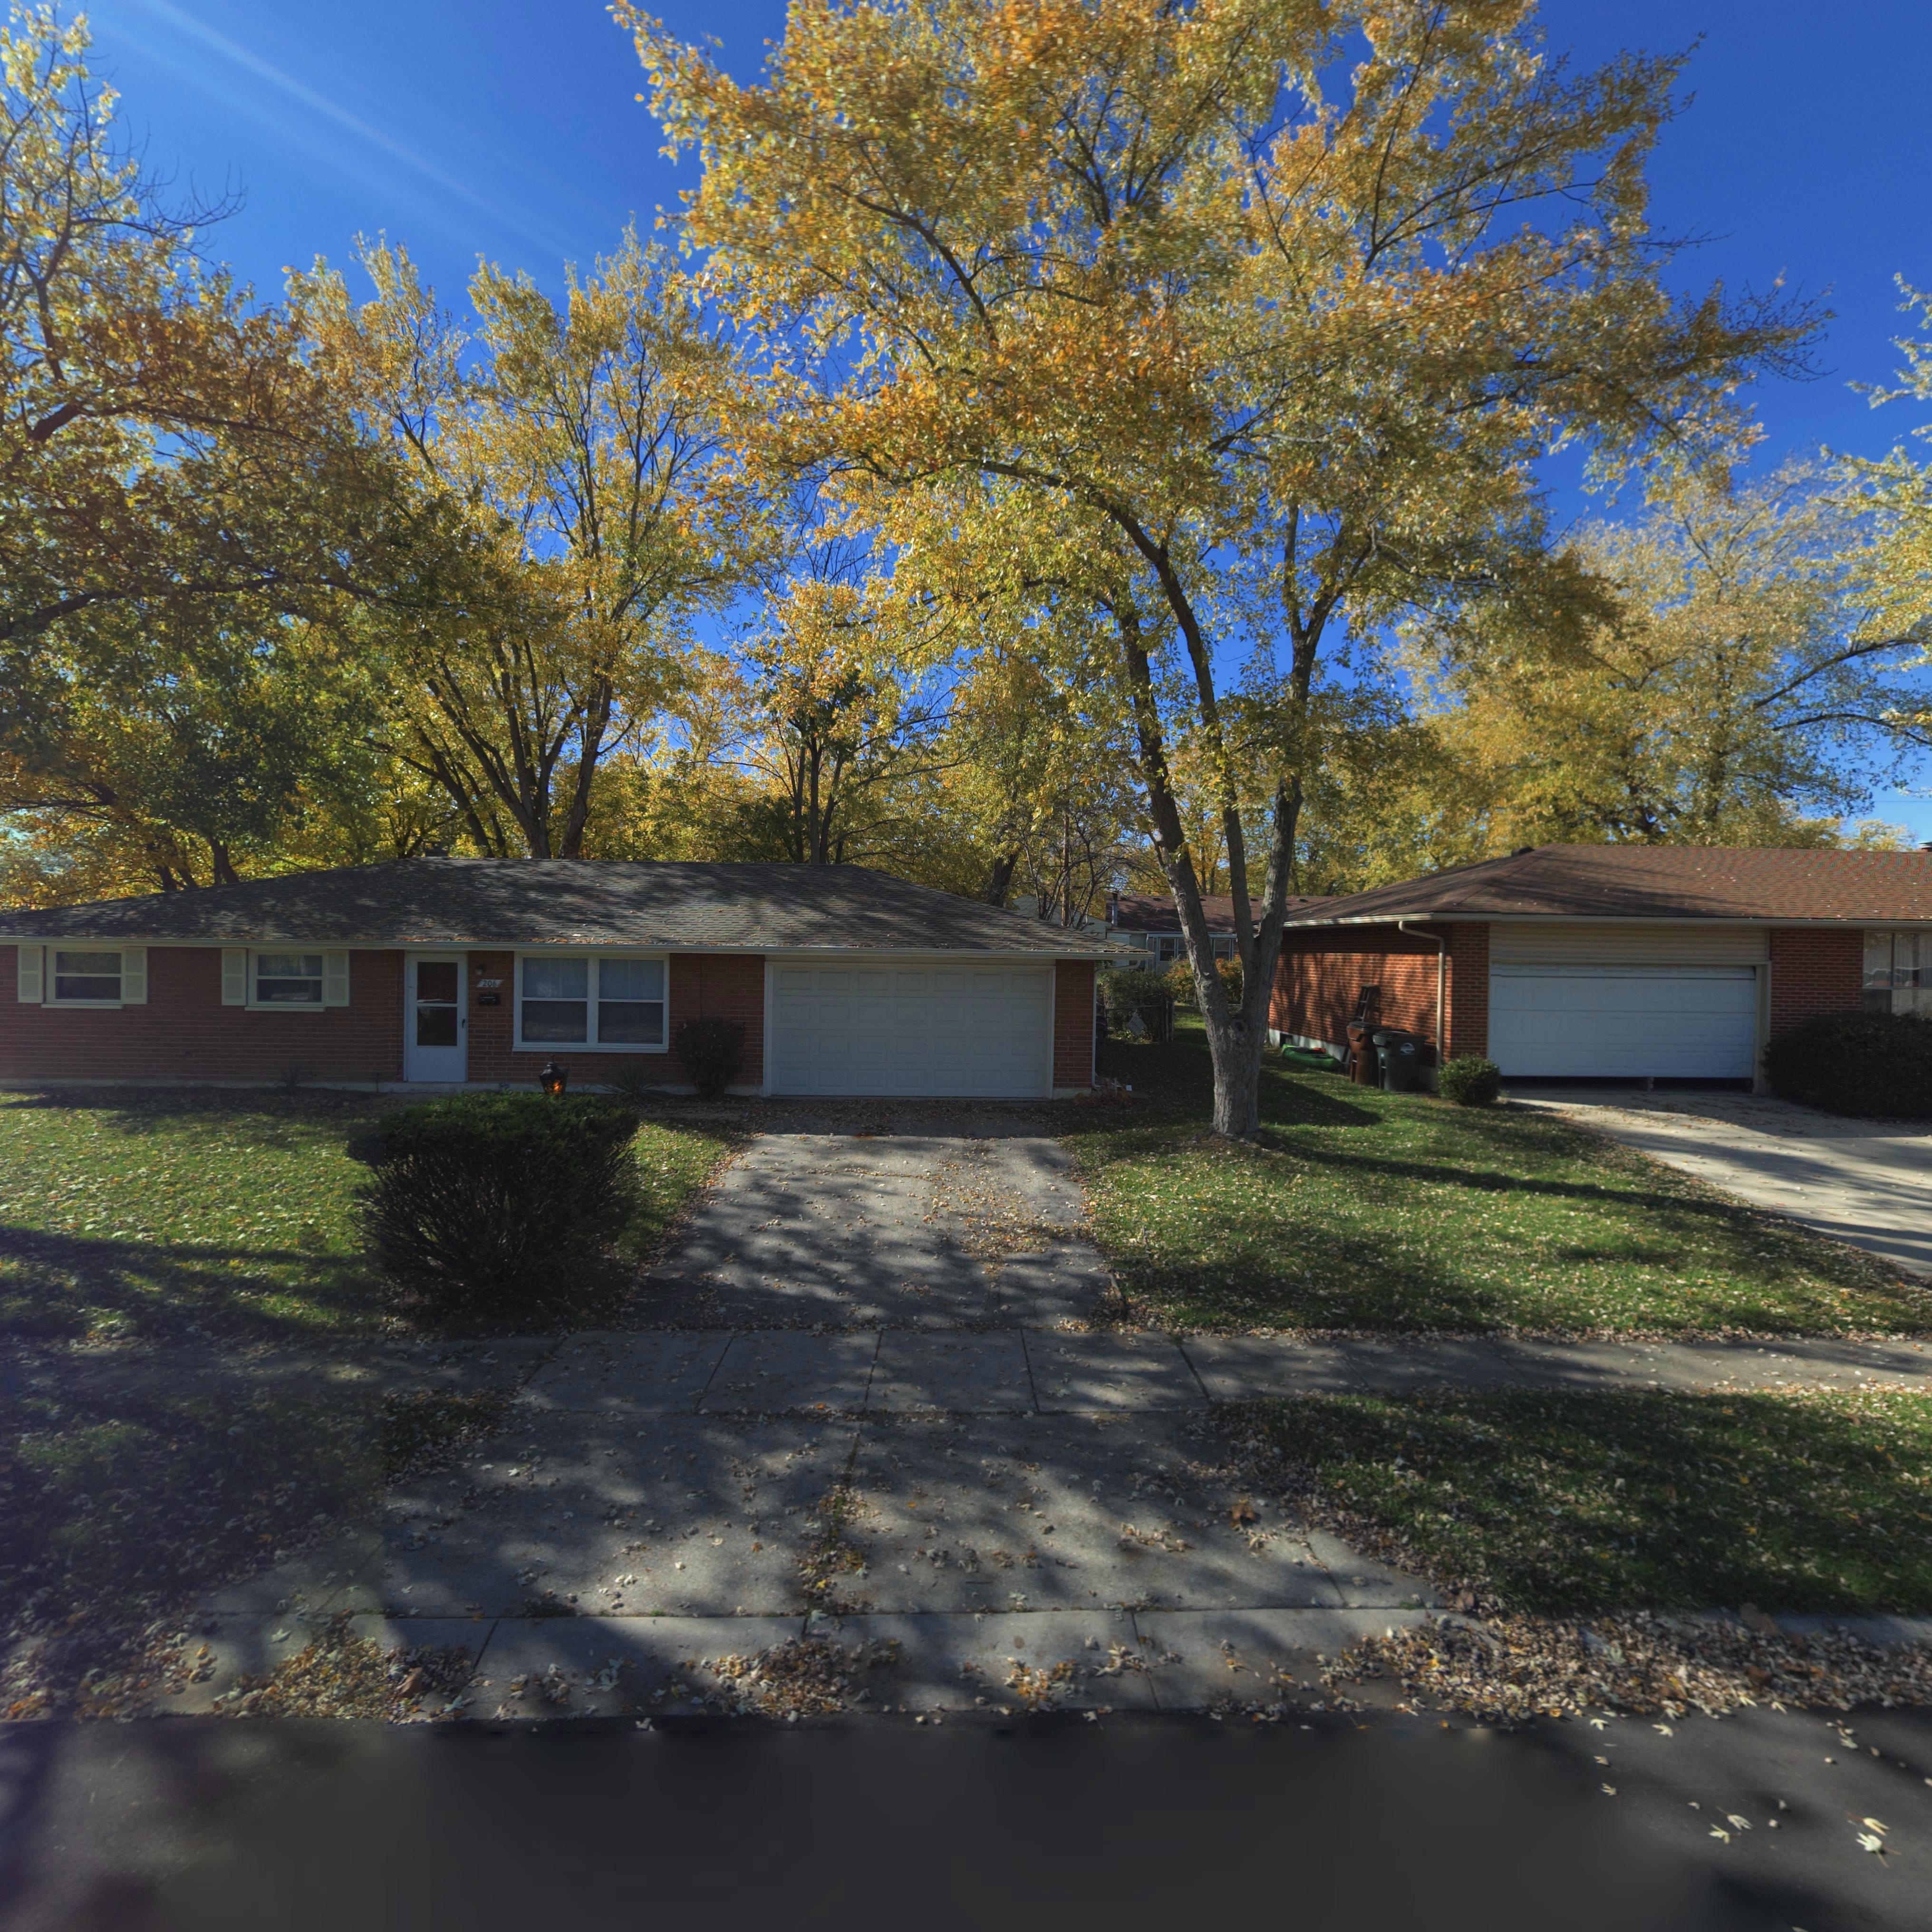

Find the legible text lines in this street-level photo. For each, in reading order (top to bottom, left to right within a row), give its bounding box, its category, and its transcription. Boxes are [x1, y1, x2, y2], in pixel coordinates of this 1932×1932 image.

[482, 980, 497, 987] StreetNumber: 206